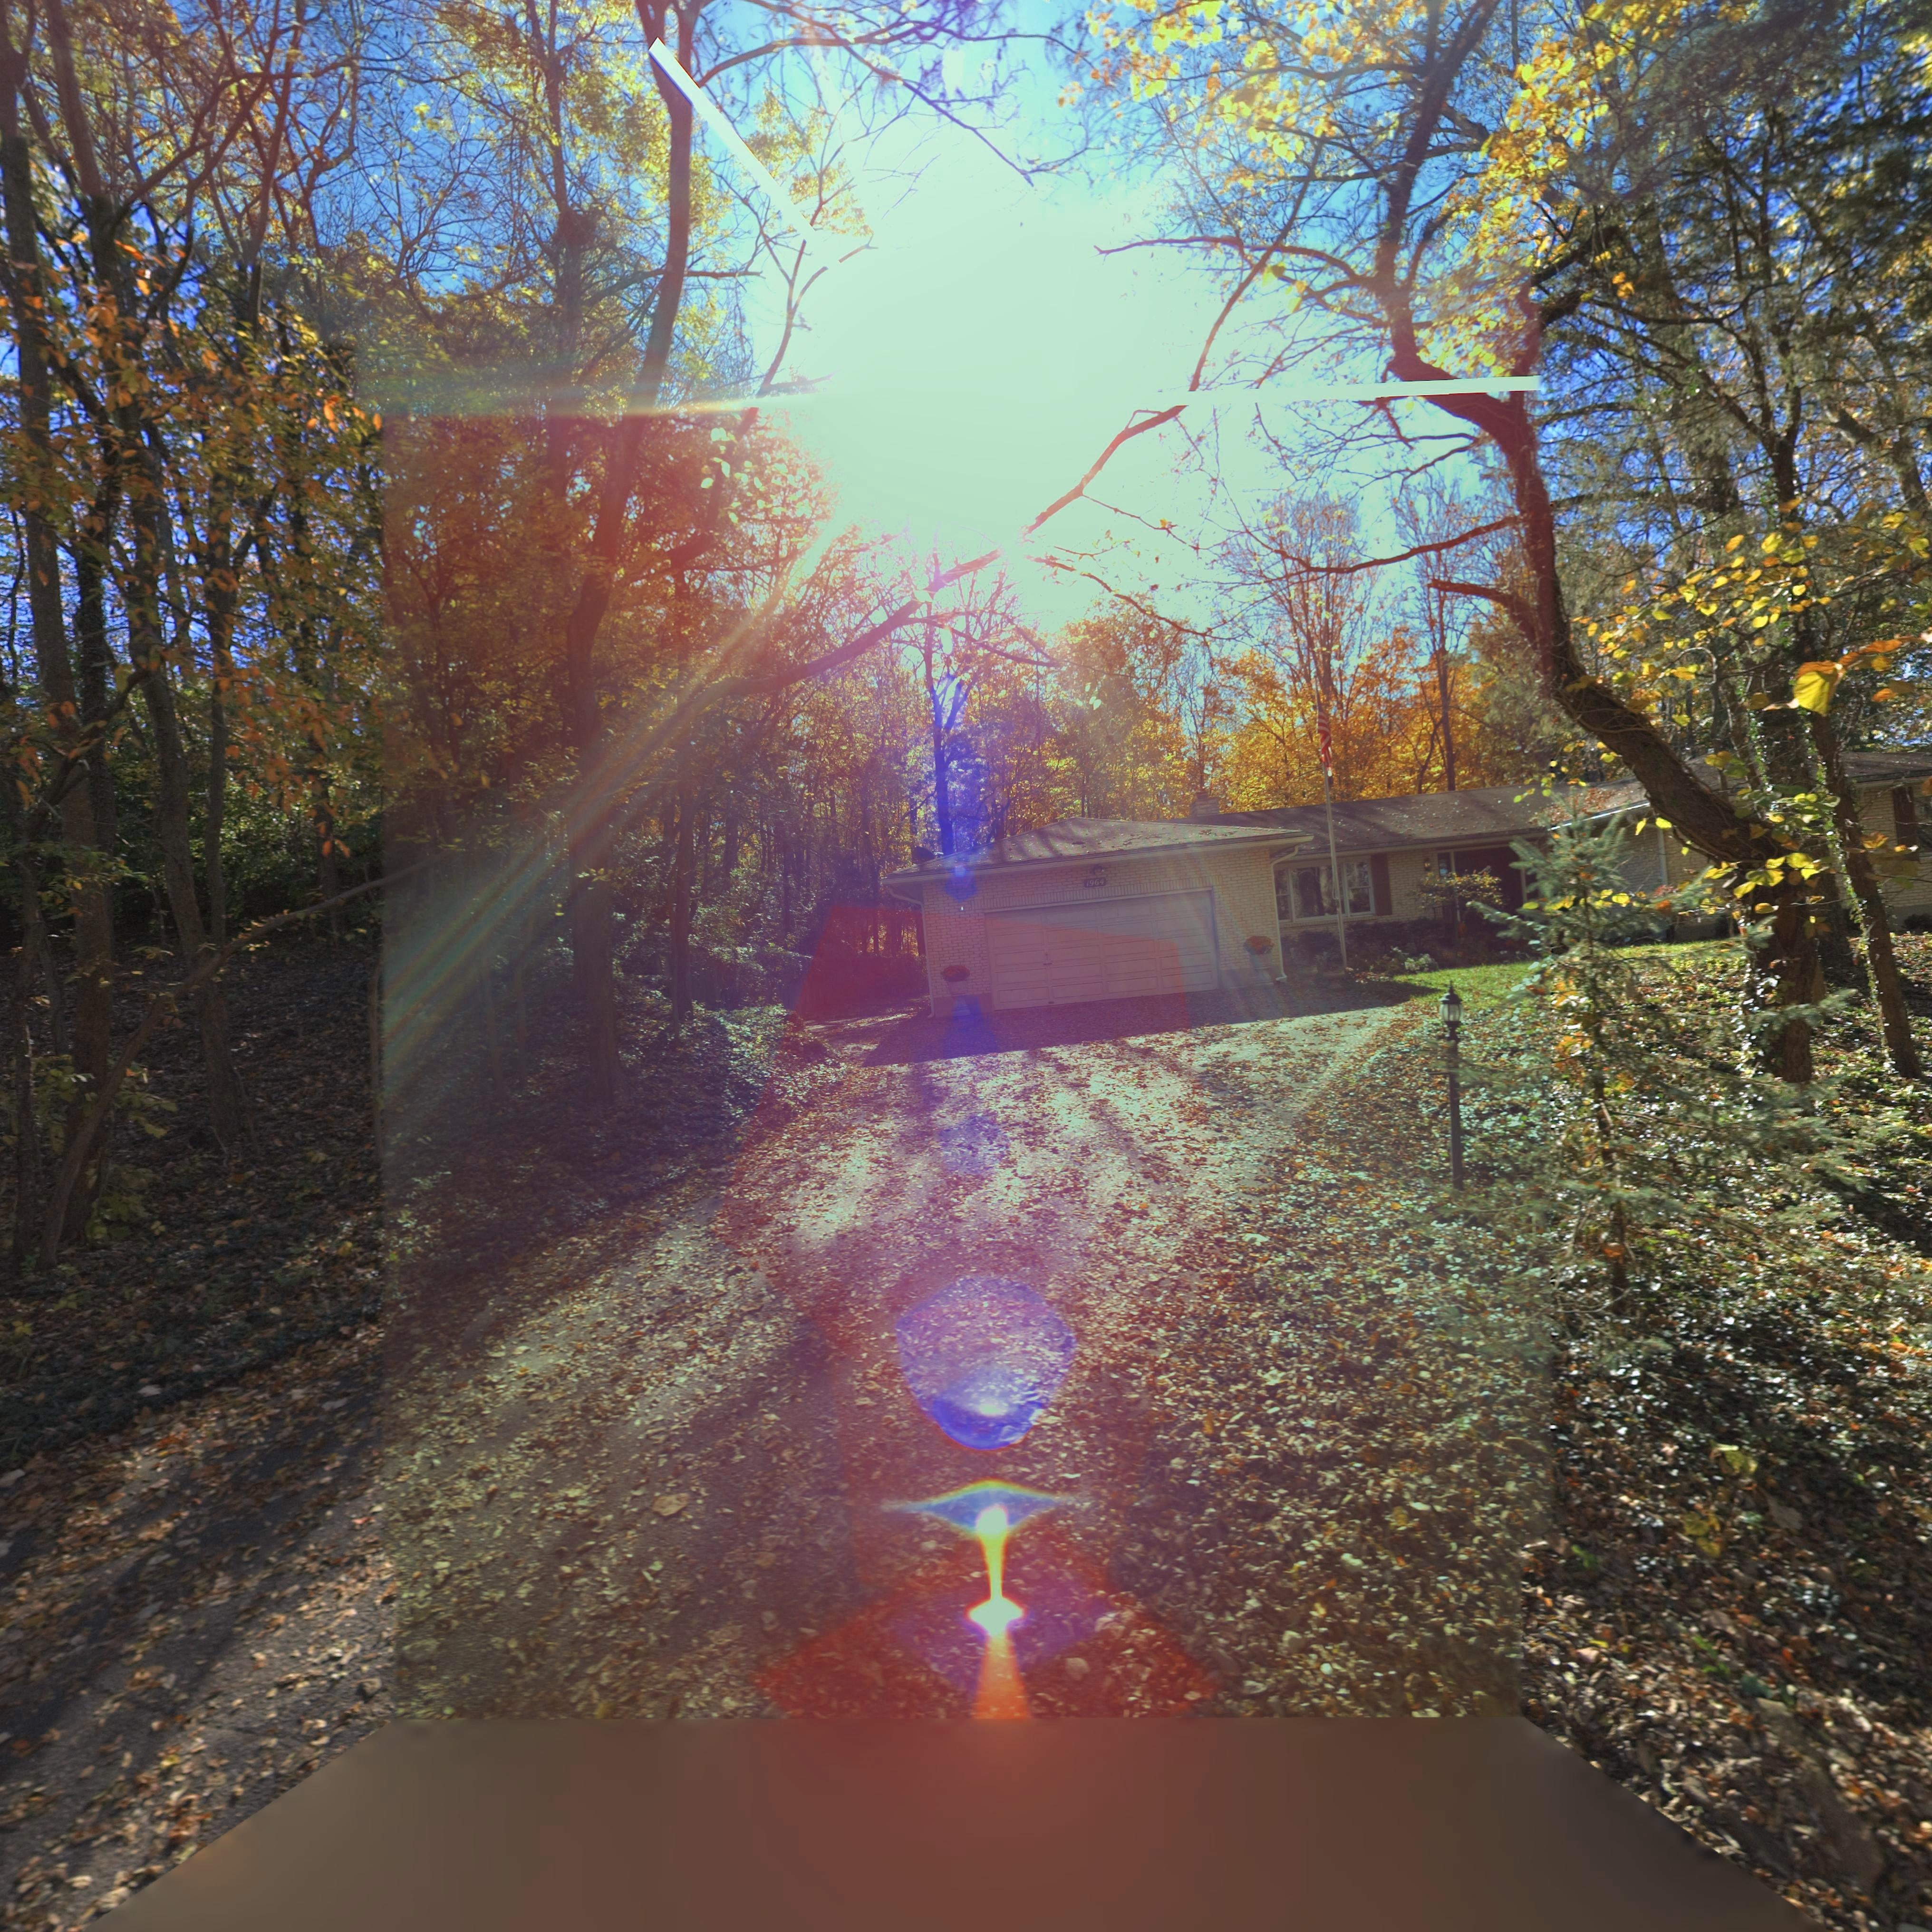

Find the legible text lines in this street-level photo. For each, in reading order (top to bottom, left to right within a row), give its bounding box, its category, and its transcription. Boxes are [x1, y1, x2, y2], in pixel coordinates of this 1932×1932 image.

[1086, 878, 1105, 888] StreetNumber: 1964